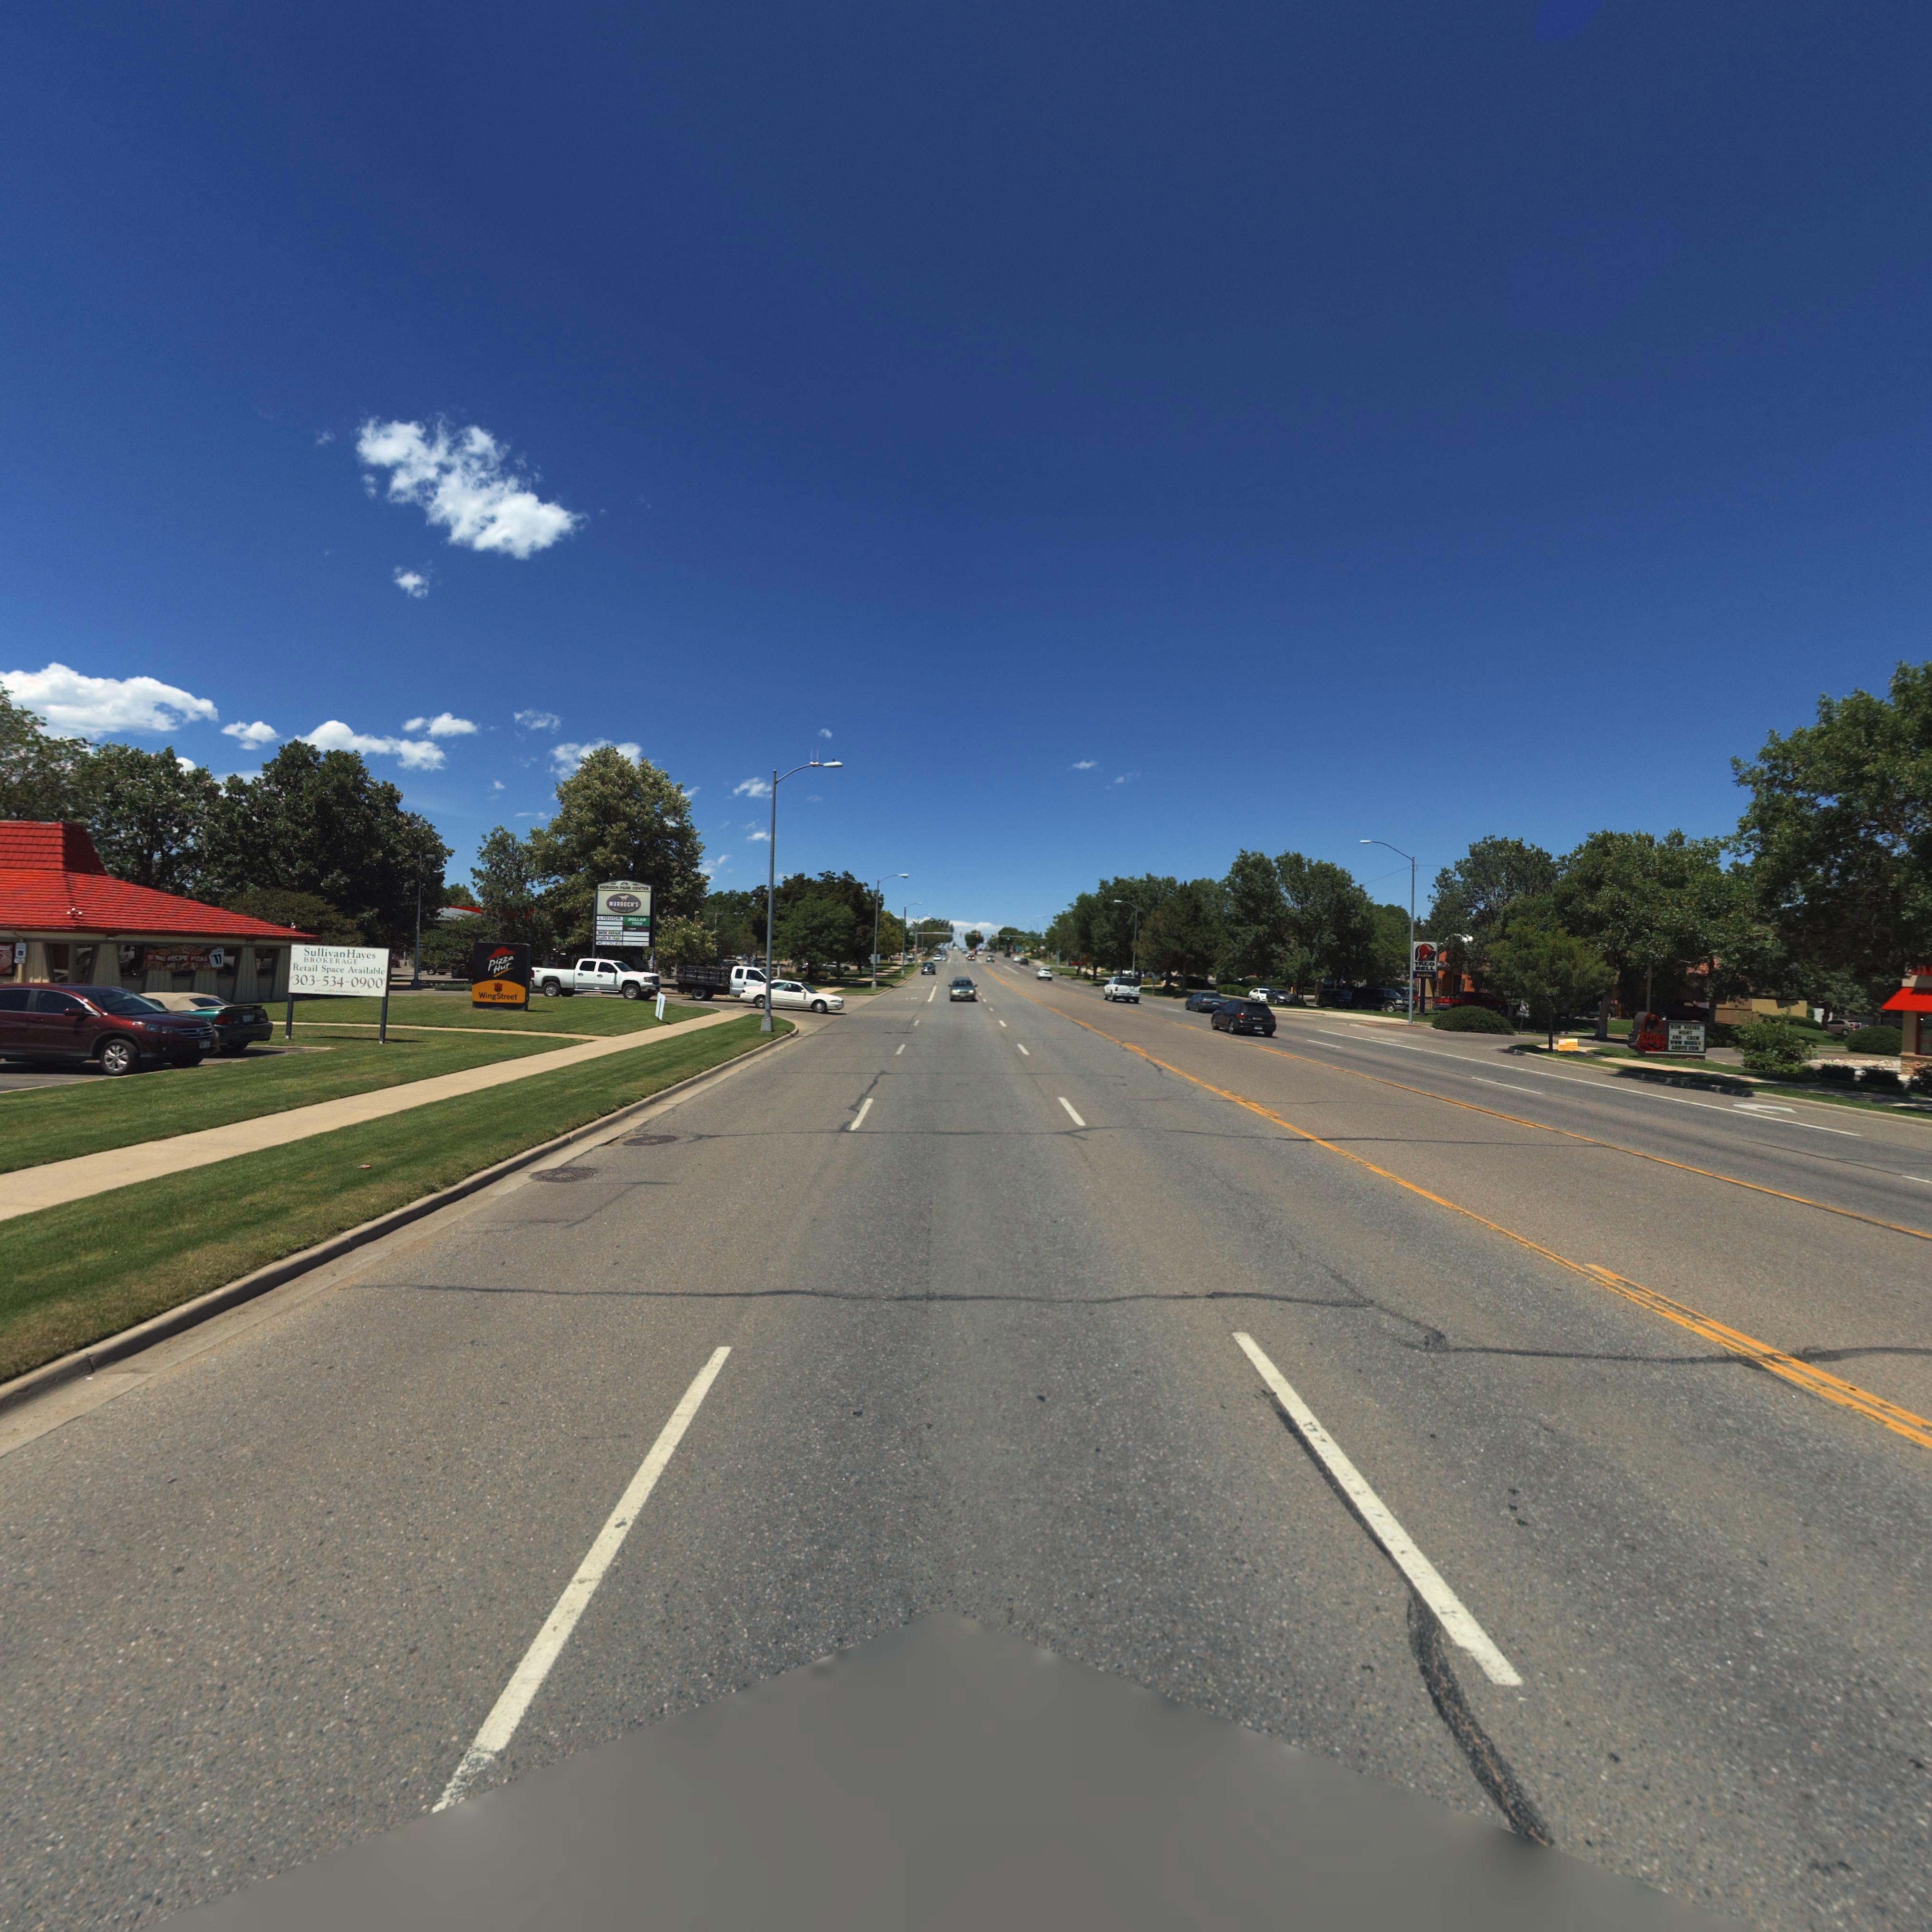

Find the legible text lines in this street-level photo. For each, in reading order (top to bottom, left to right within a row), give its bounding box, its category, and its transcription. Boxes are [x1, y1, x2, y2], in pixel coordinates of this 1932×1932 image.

[609, 901, 638, 907] BusinessName: *UR*OCH*S
[631, 922, 642, 925] BusinessName: T***
[628, 917, 646, 921] BusinessName: DOLLA*
[649, 947, 654, 968] StreetNumber: *255
[487, 956, 514, 971] BusinessName: Pizza
[493, 962, 512, 974] BusinessName: Hut
[1414, 962, 1435, 966] BusinessName: TACO
[1415, 966, 1435, 970] BusinessName: BELL
[478, 992, 517, 1000] BusinessName: Wing Street
[1637, 1030, 1666, 1047] BusinessName: Arbys